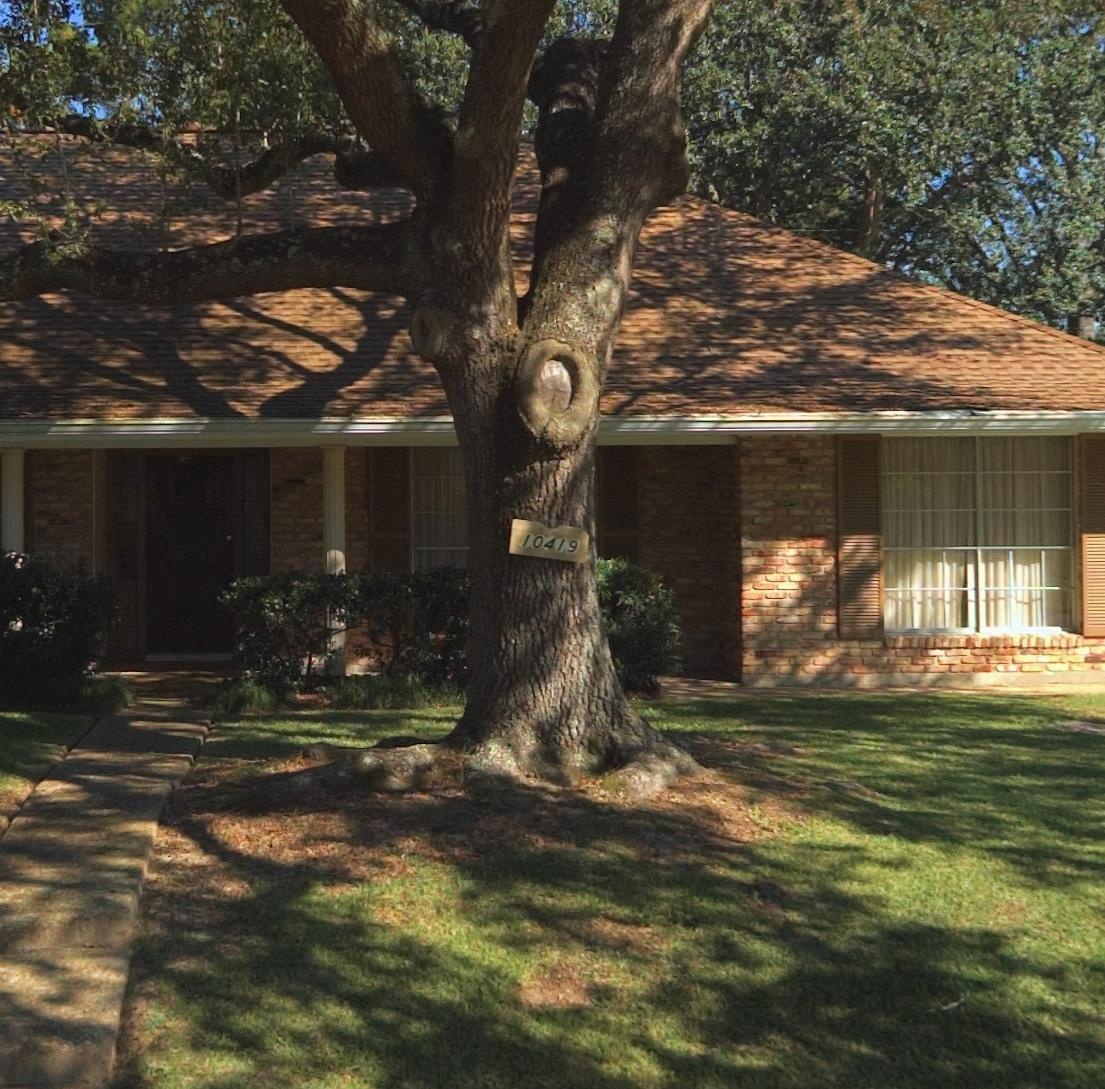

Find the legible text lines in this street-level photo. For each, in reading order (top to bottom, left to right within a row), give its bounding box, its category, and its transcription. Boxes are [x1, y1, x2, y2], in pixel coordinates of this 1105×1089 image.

[518, 530, 581, 557] StreetNumber: 10419